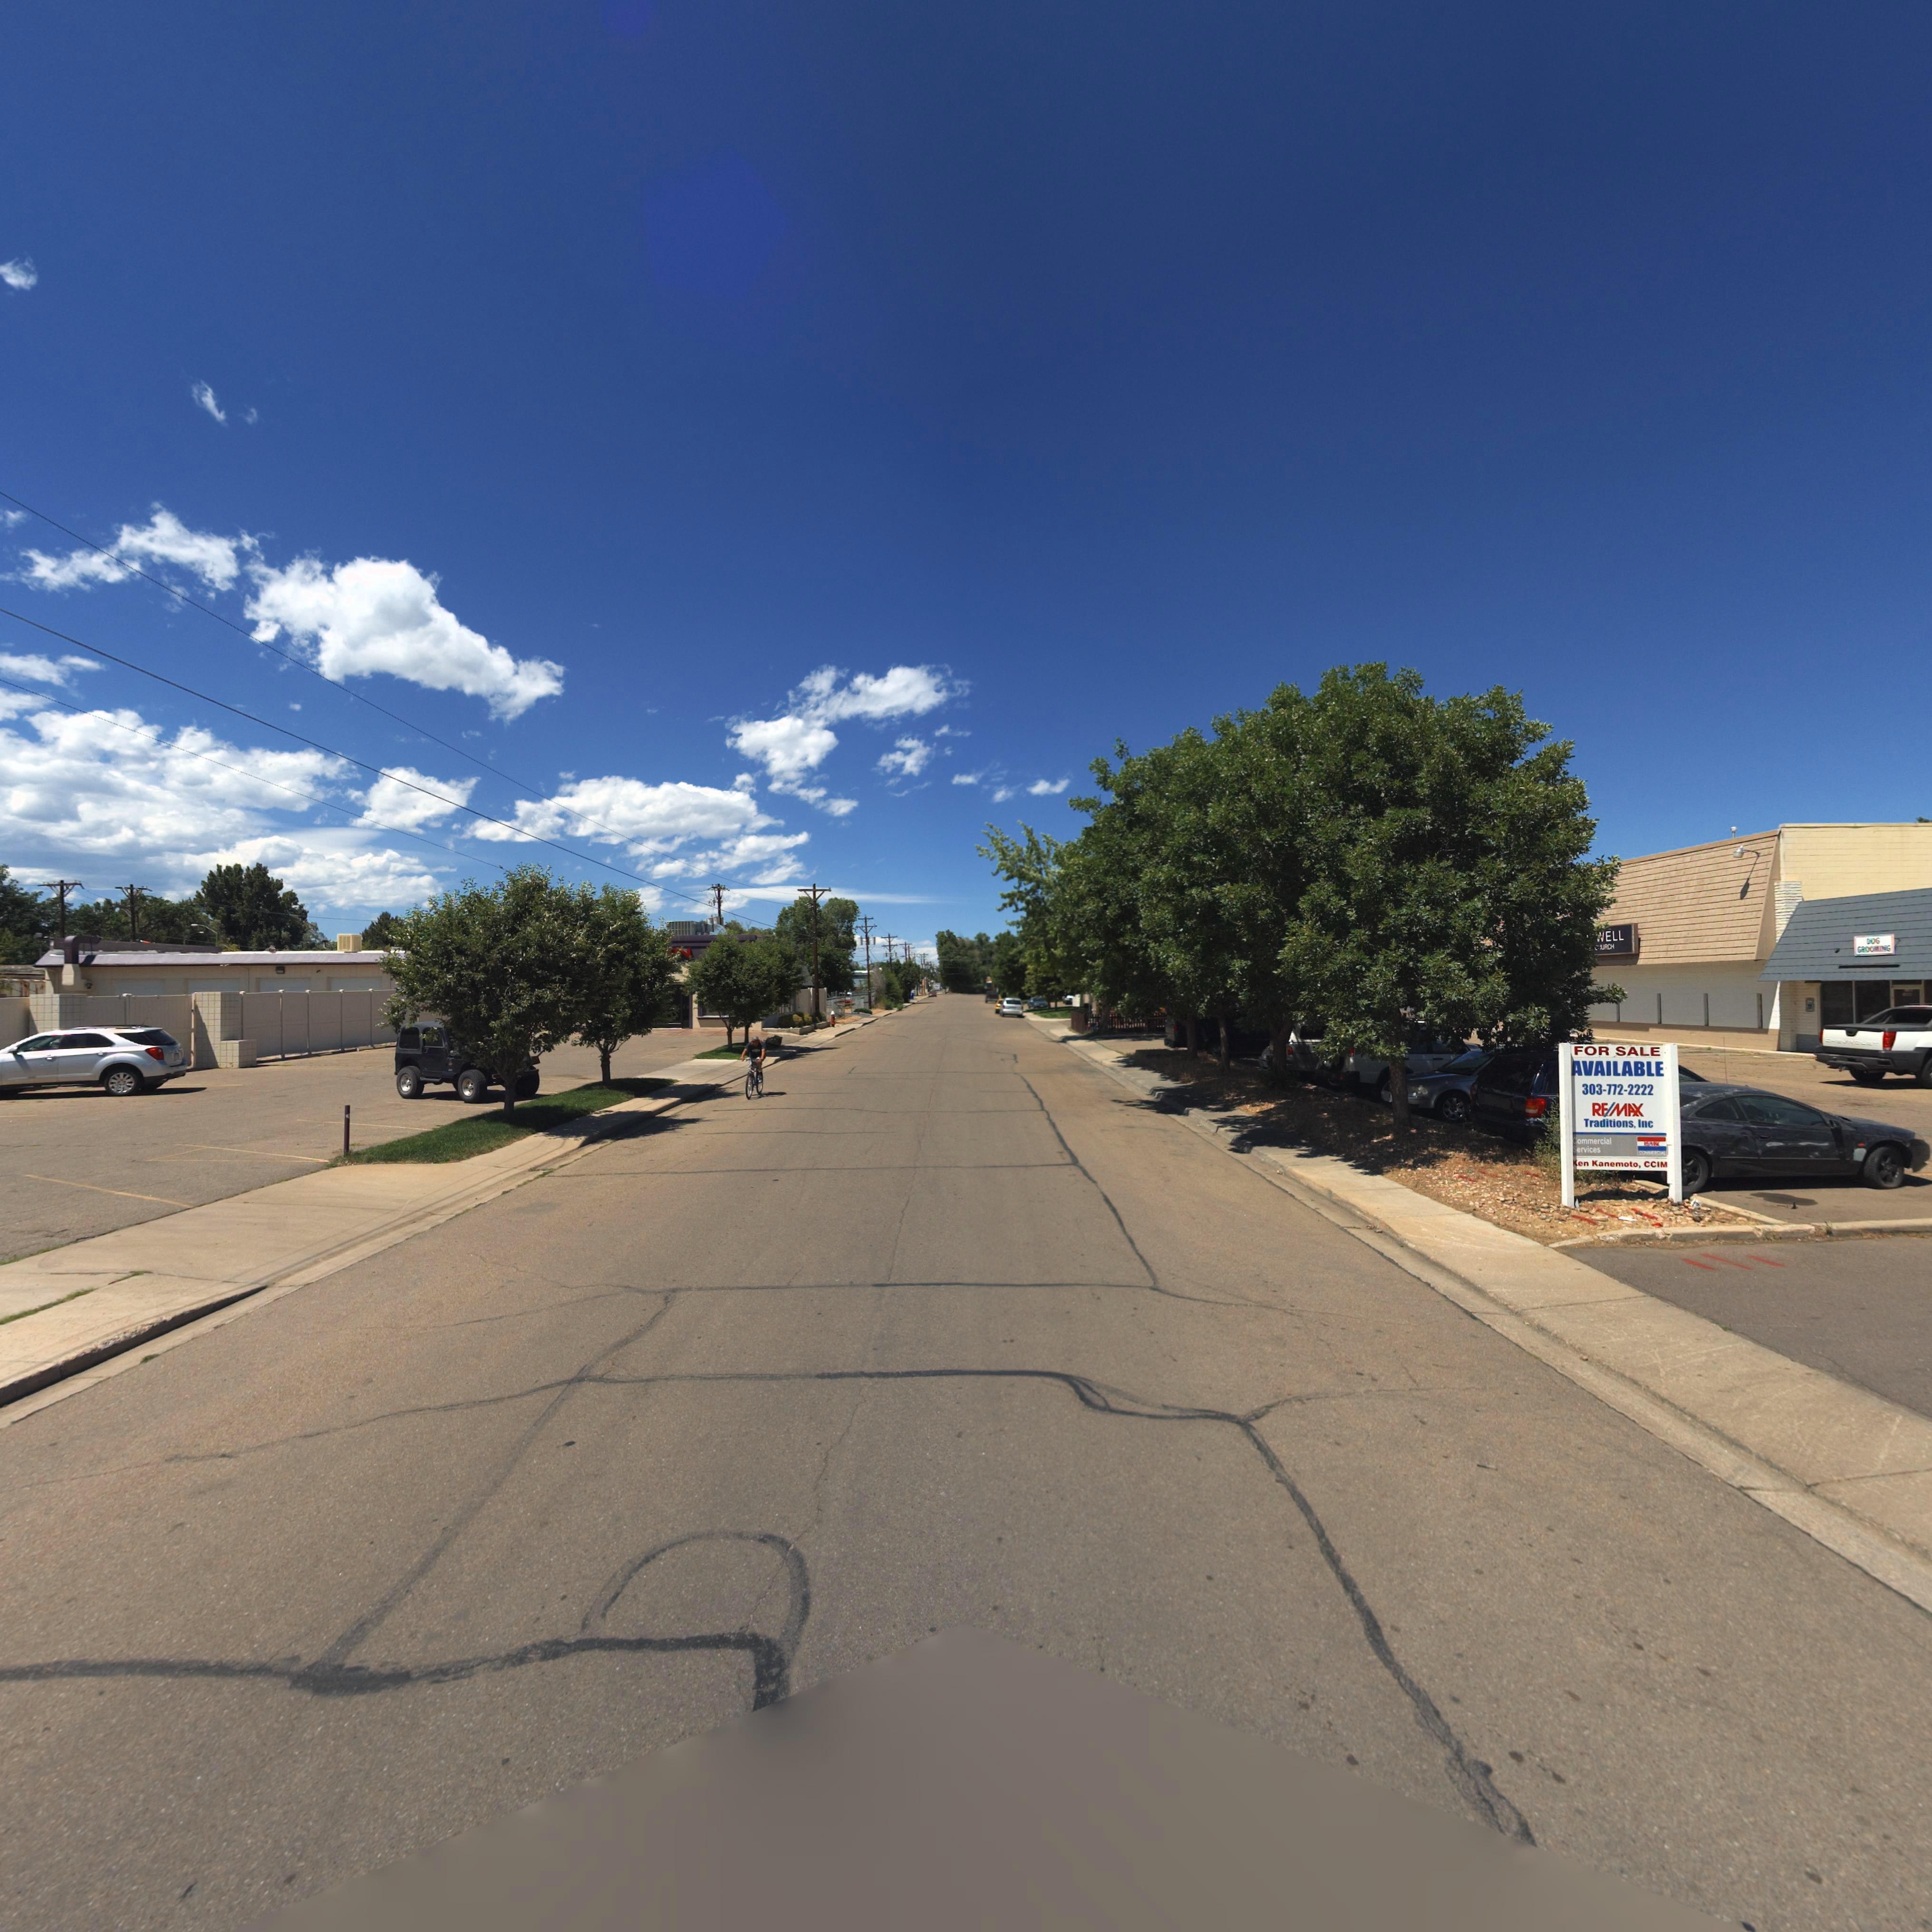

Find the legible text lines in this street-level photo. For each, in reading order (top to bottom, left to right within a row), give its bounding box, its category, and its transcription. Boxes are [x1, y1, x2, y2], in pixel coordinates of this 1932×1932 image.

[1594, 929, 1624, 942] BusinessName: *ELL
[1866, 937, 1880, 945] BusinessName: *OG
[1594, 943, 1614, 951] BusinessName: **URCH
[1857, 945, 1891, 953] BusinessName: G*OO***G